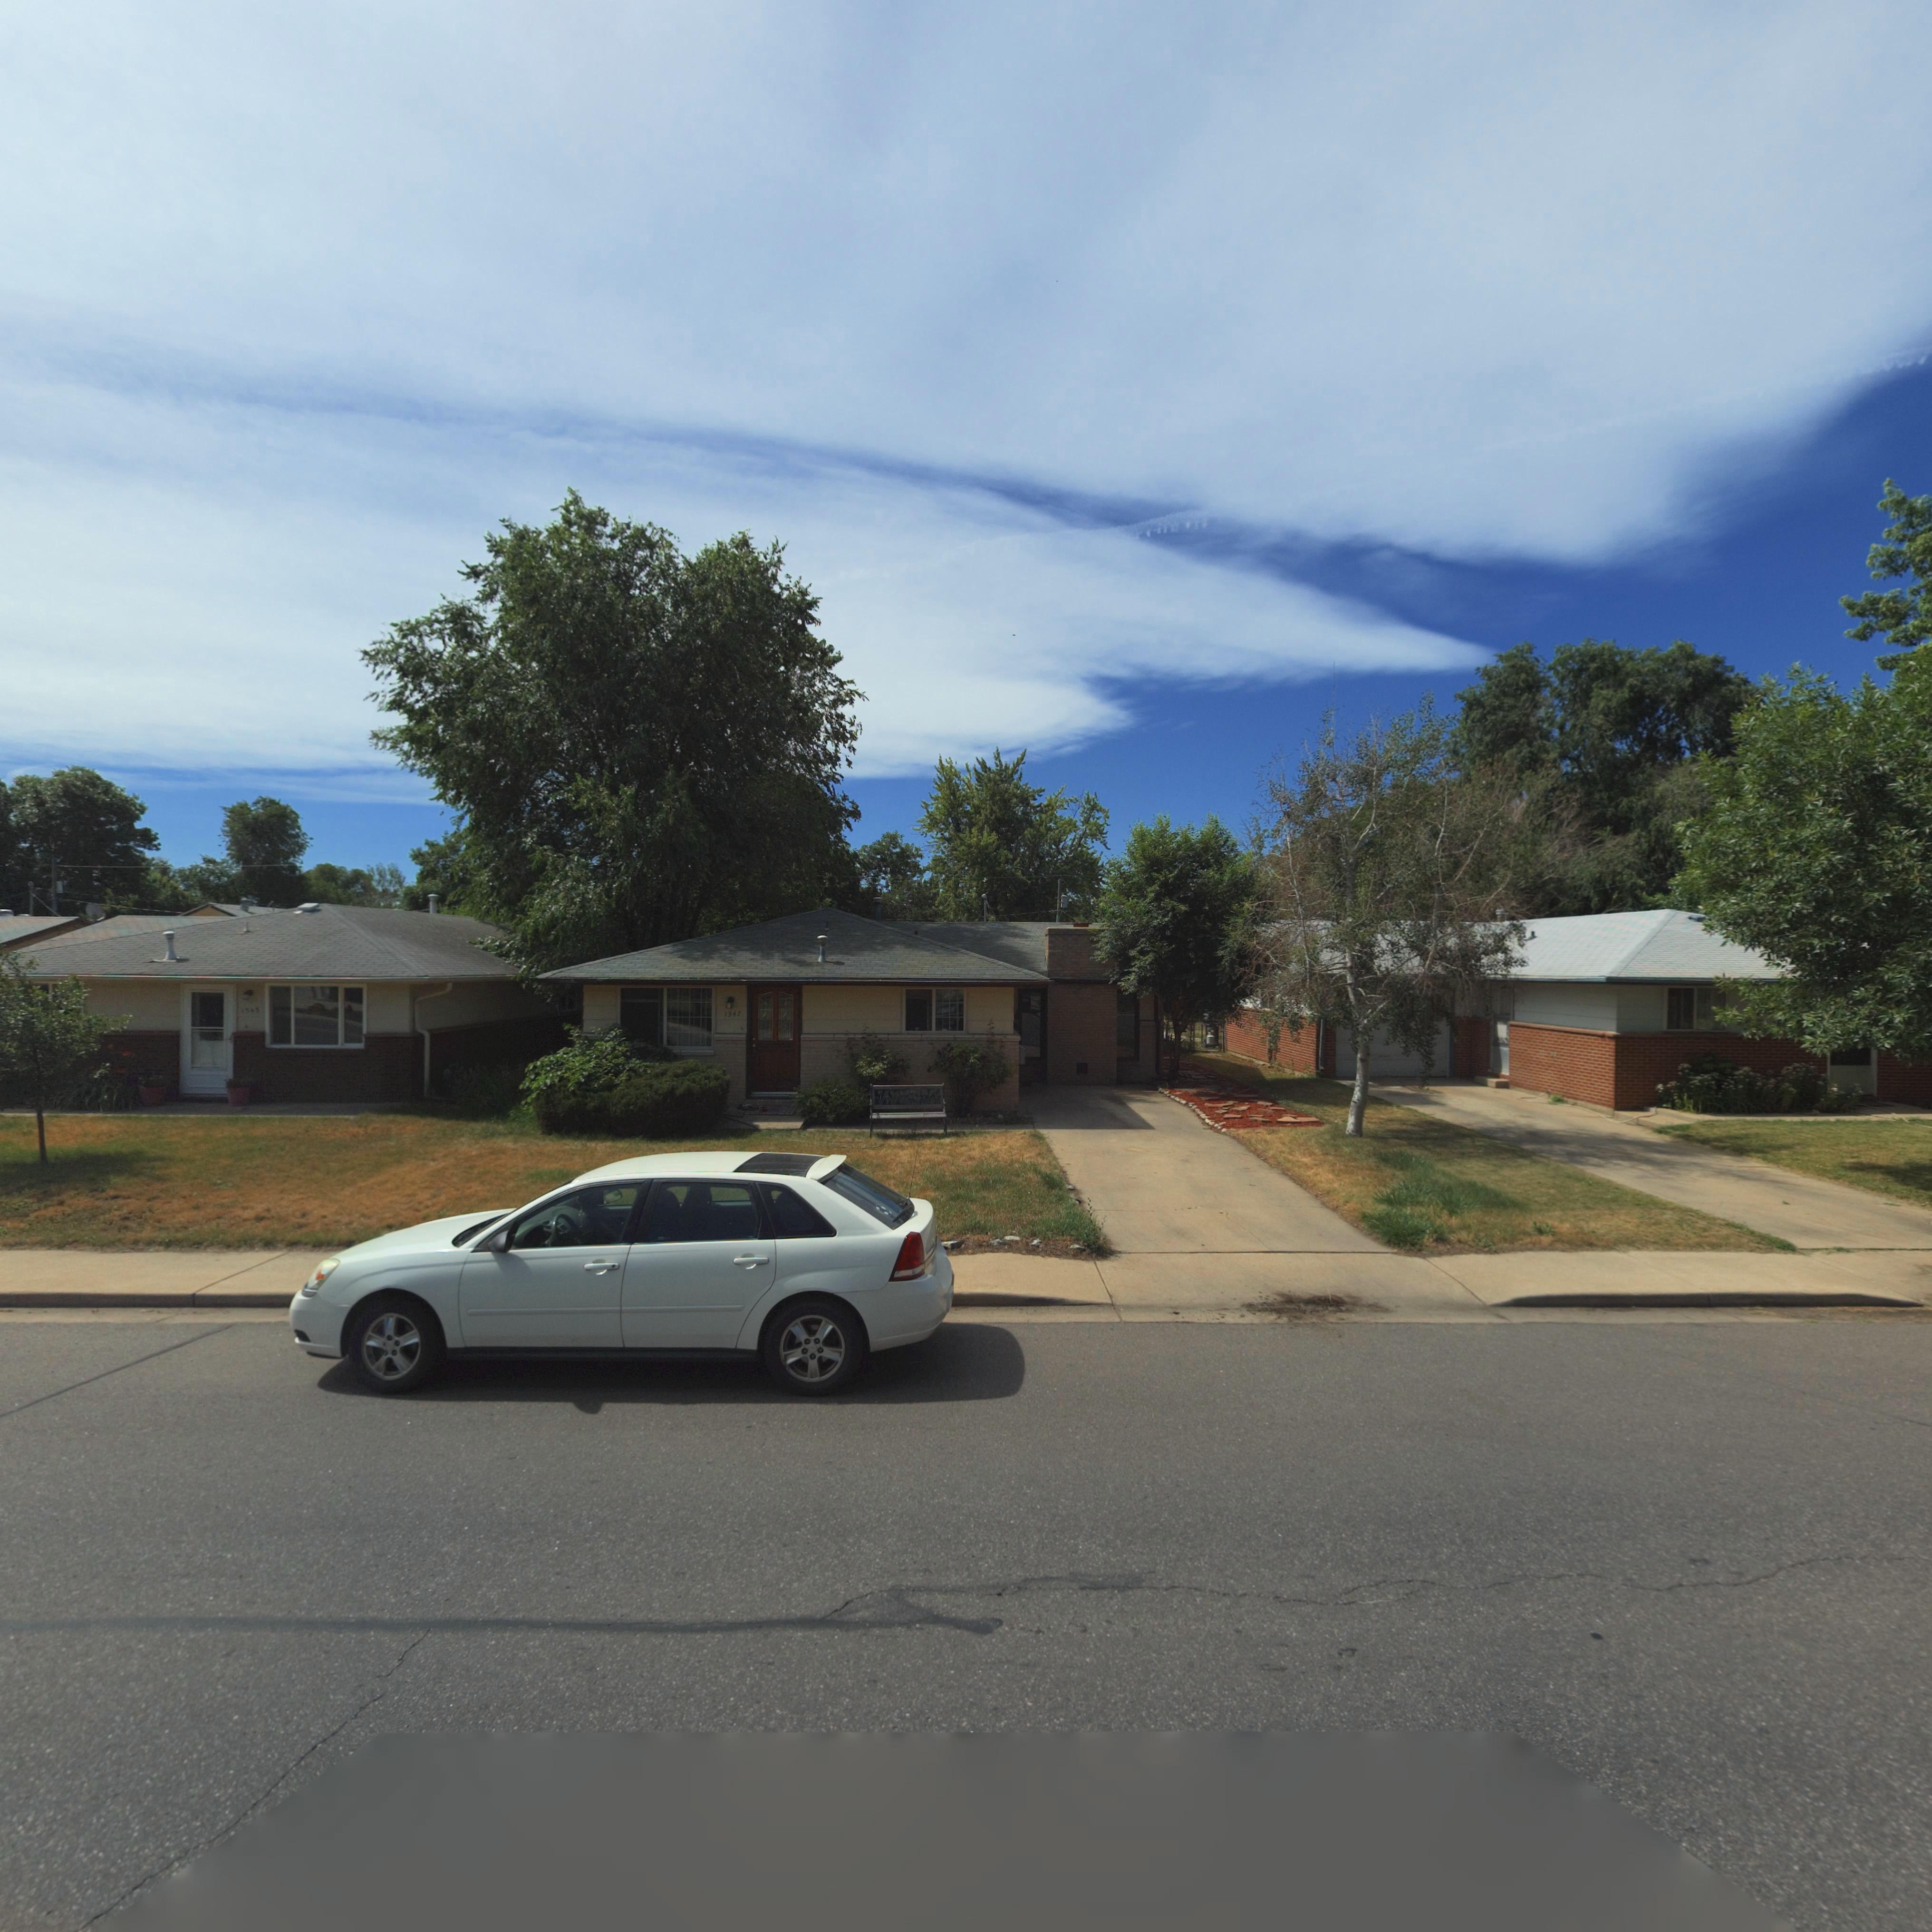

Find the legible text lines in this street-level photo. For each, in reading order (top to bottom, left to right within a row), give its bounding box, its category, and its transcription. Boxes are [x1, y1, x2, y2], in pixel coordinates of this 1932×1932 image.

[241, 1006, 260, 1014] StreetNumber: 1343
[724, 1010, 742, 1017] StreetNumber: 1347